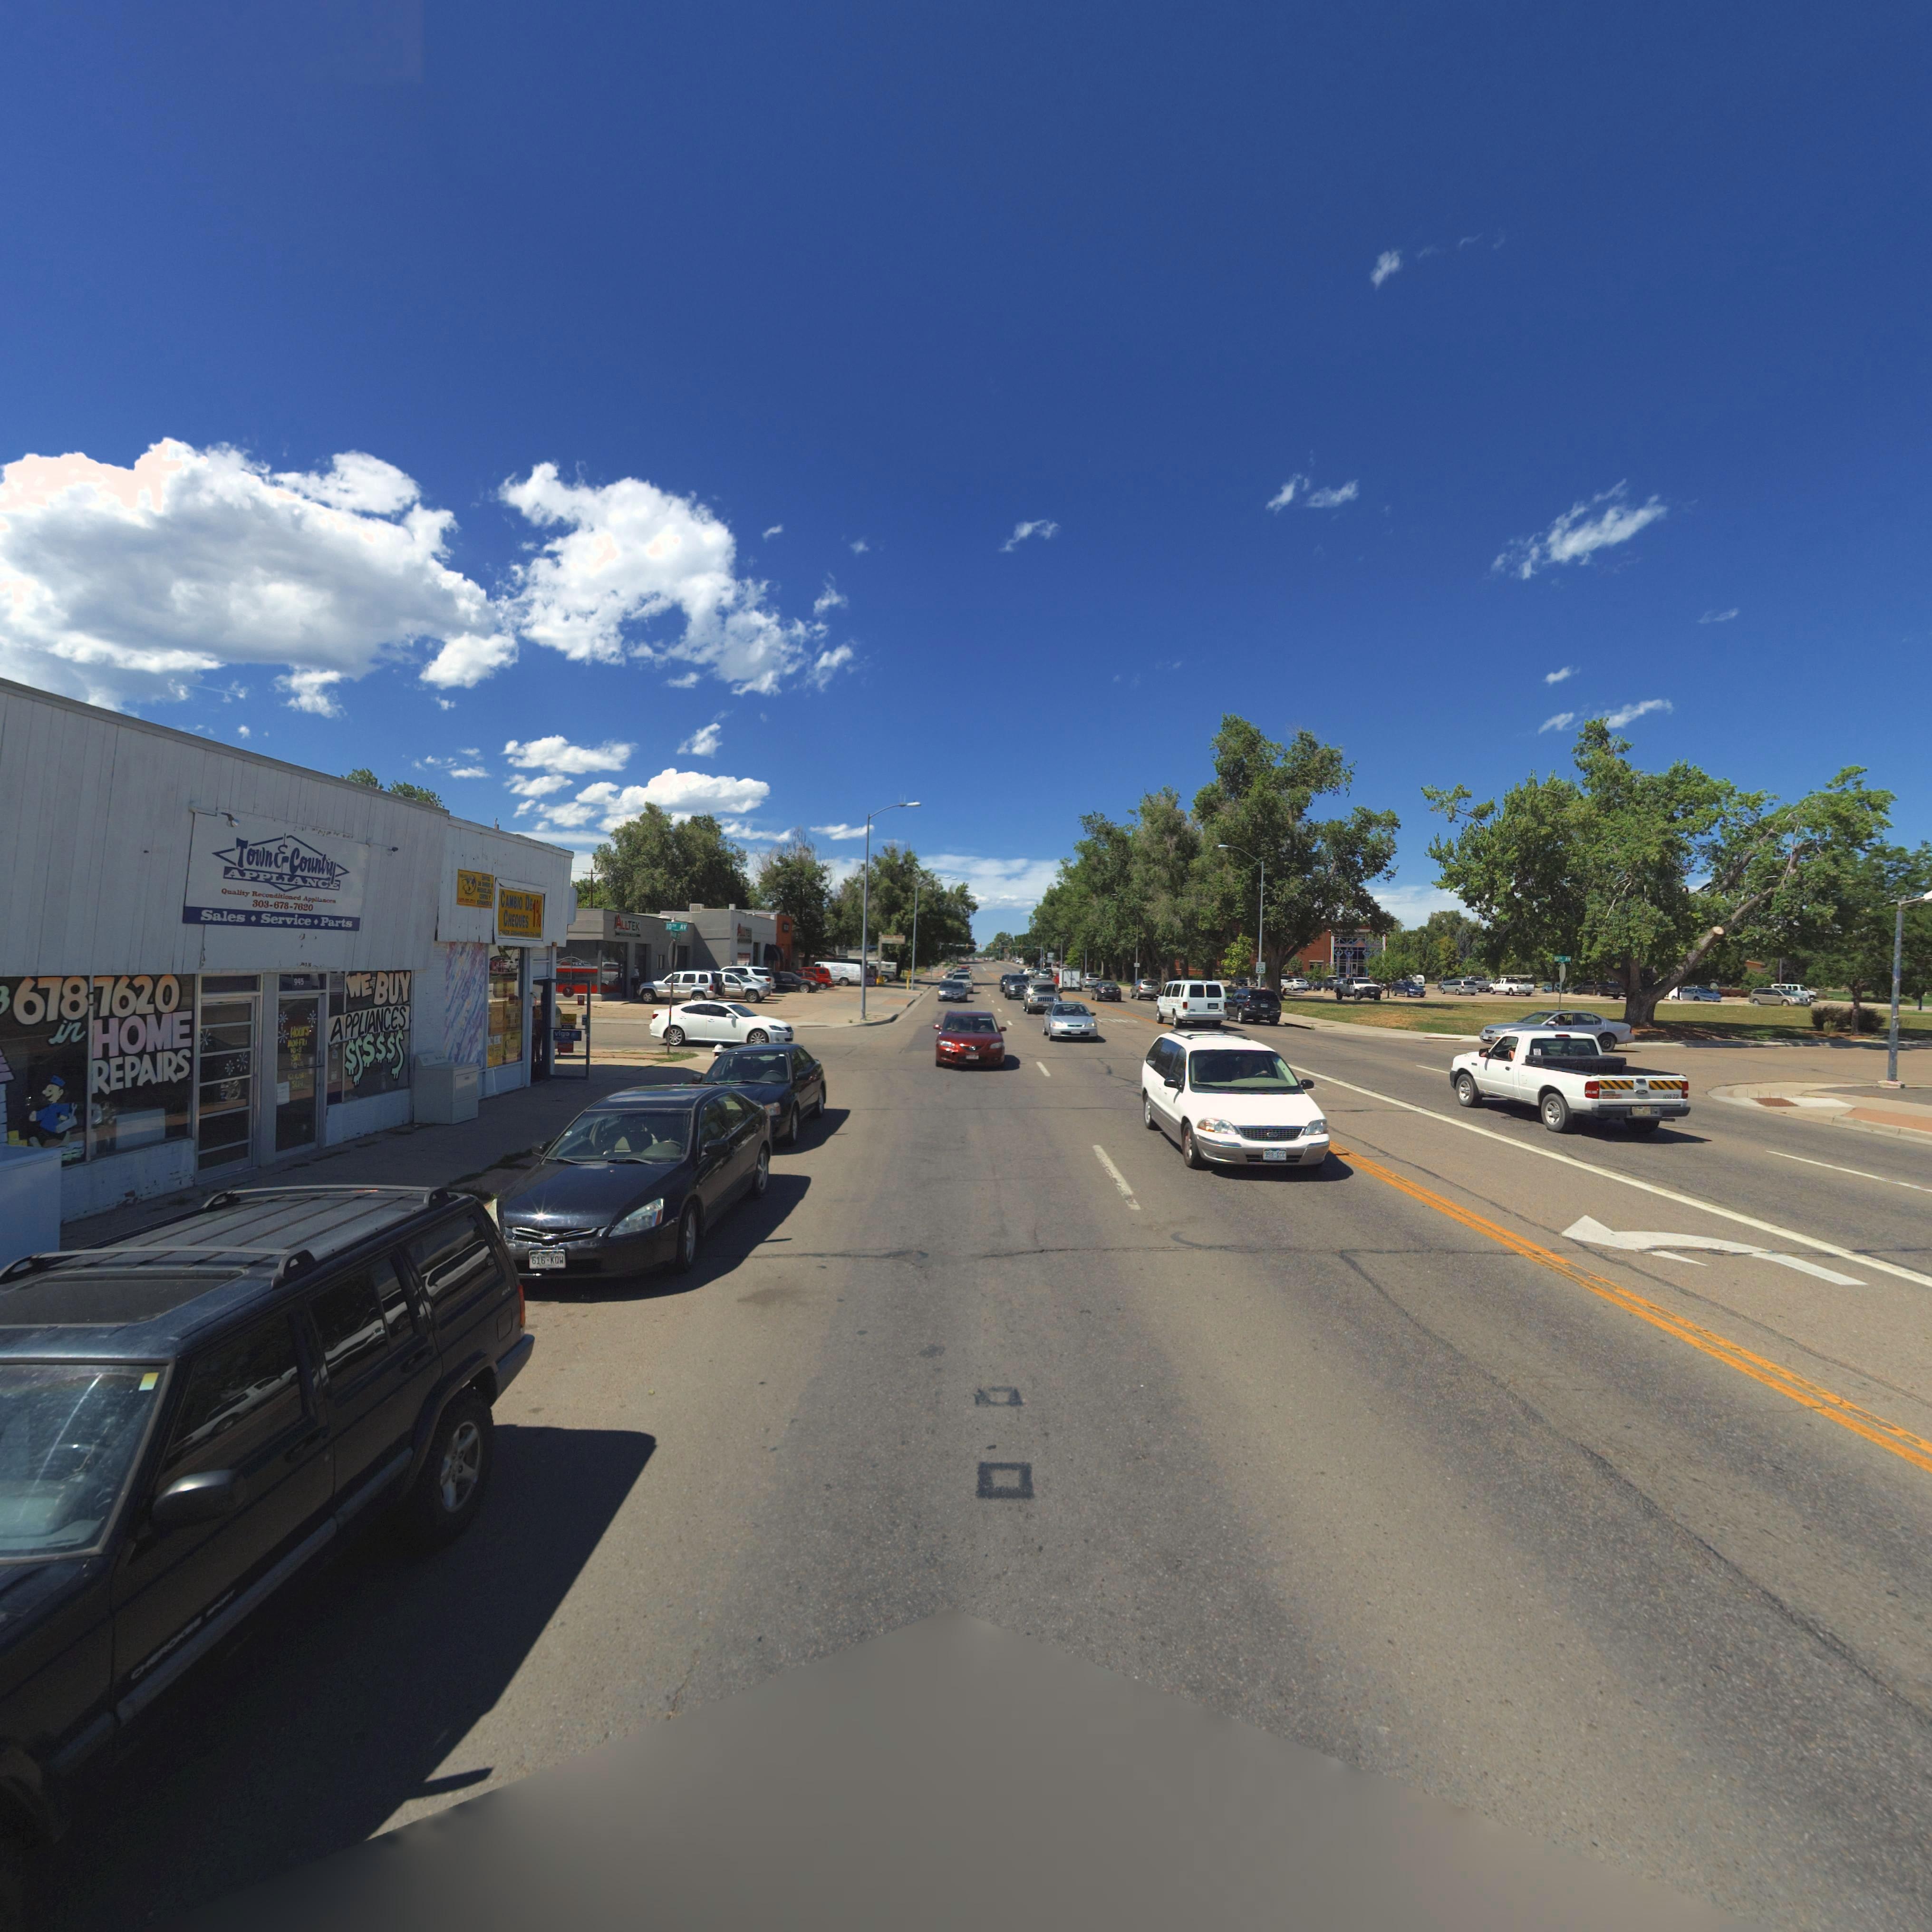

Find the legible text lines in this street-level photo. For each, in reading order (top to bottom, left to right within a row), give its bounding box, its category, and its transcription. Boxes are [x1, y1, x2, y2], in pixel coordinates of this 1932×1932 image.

[236, 833, 336, 885] BusinessName: Town * Country
[224, 869, 339, 889] BusinessName: APPLIANCE
[615, 914, 640, 931] BusinessName: ALLTEK
[667, 923, 687, 930] StreetName: 10TH AV
[736, 922, 752, 937] BusinessName: A*LTE*
[671, 931, 680, 939] StreetName: **** ST
[560, 961, 582, 966] BusinessName: *** TEK
[1554, 956, 1571, 961] StreetName: 10** AV
[293, 978, 304, 985] StreetNumber: 945